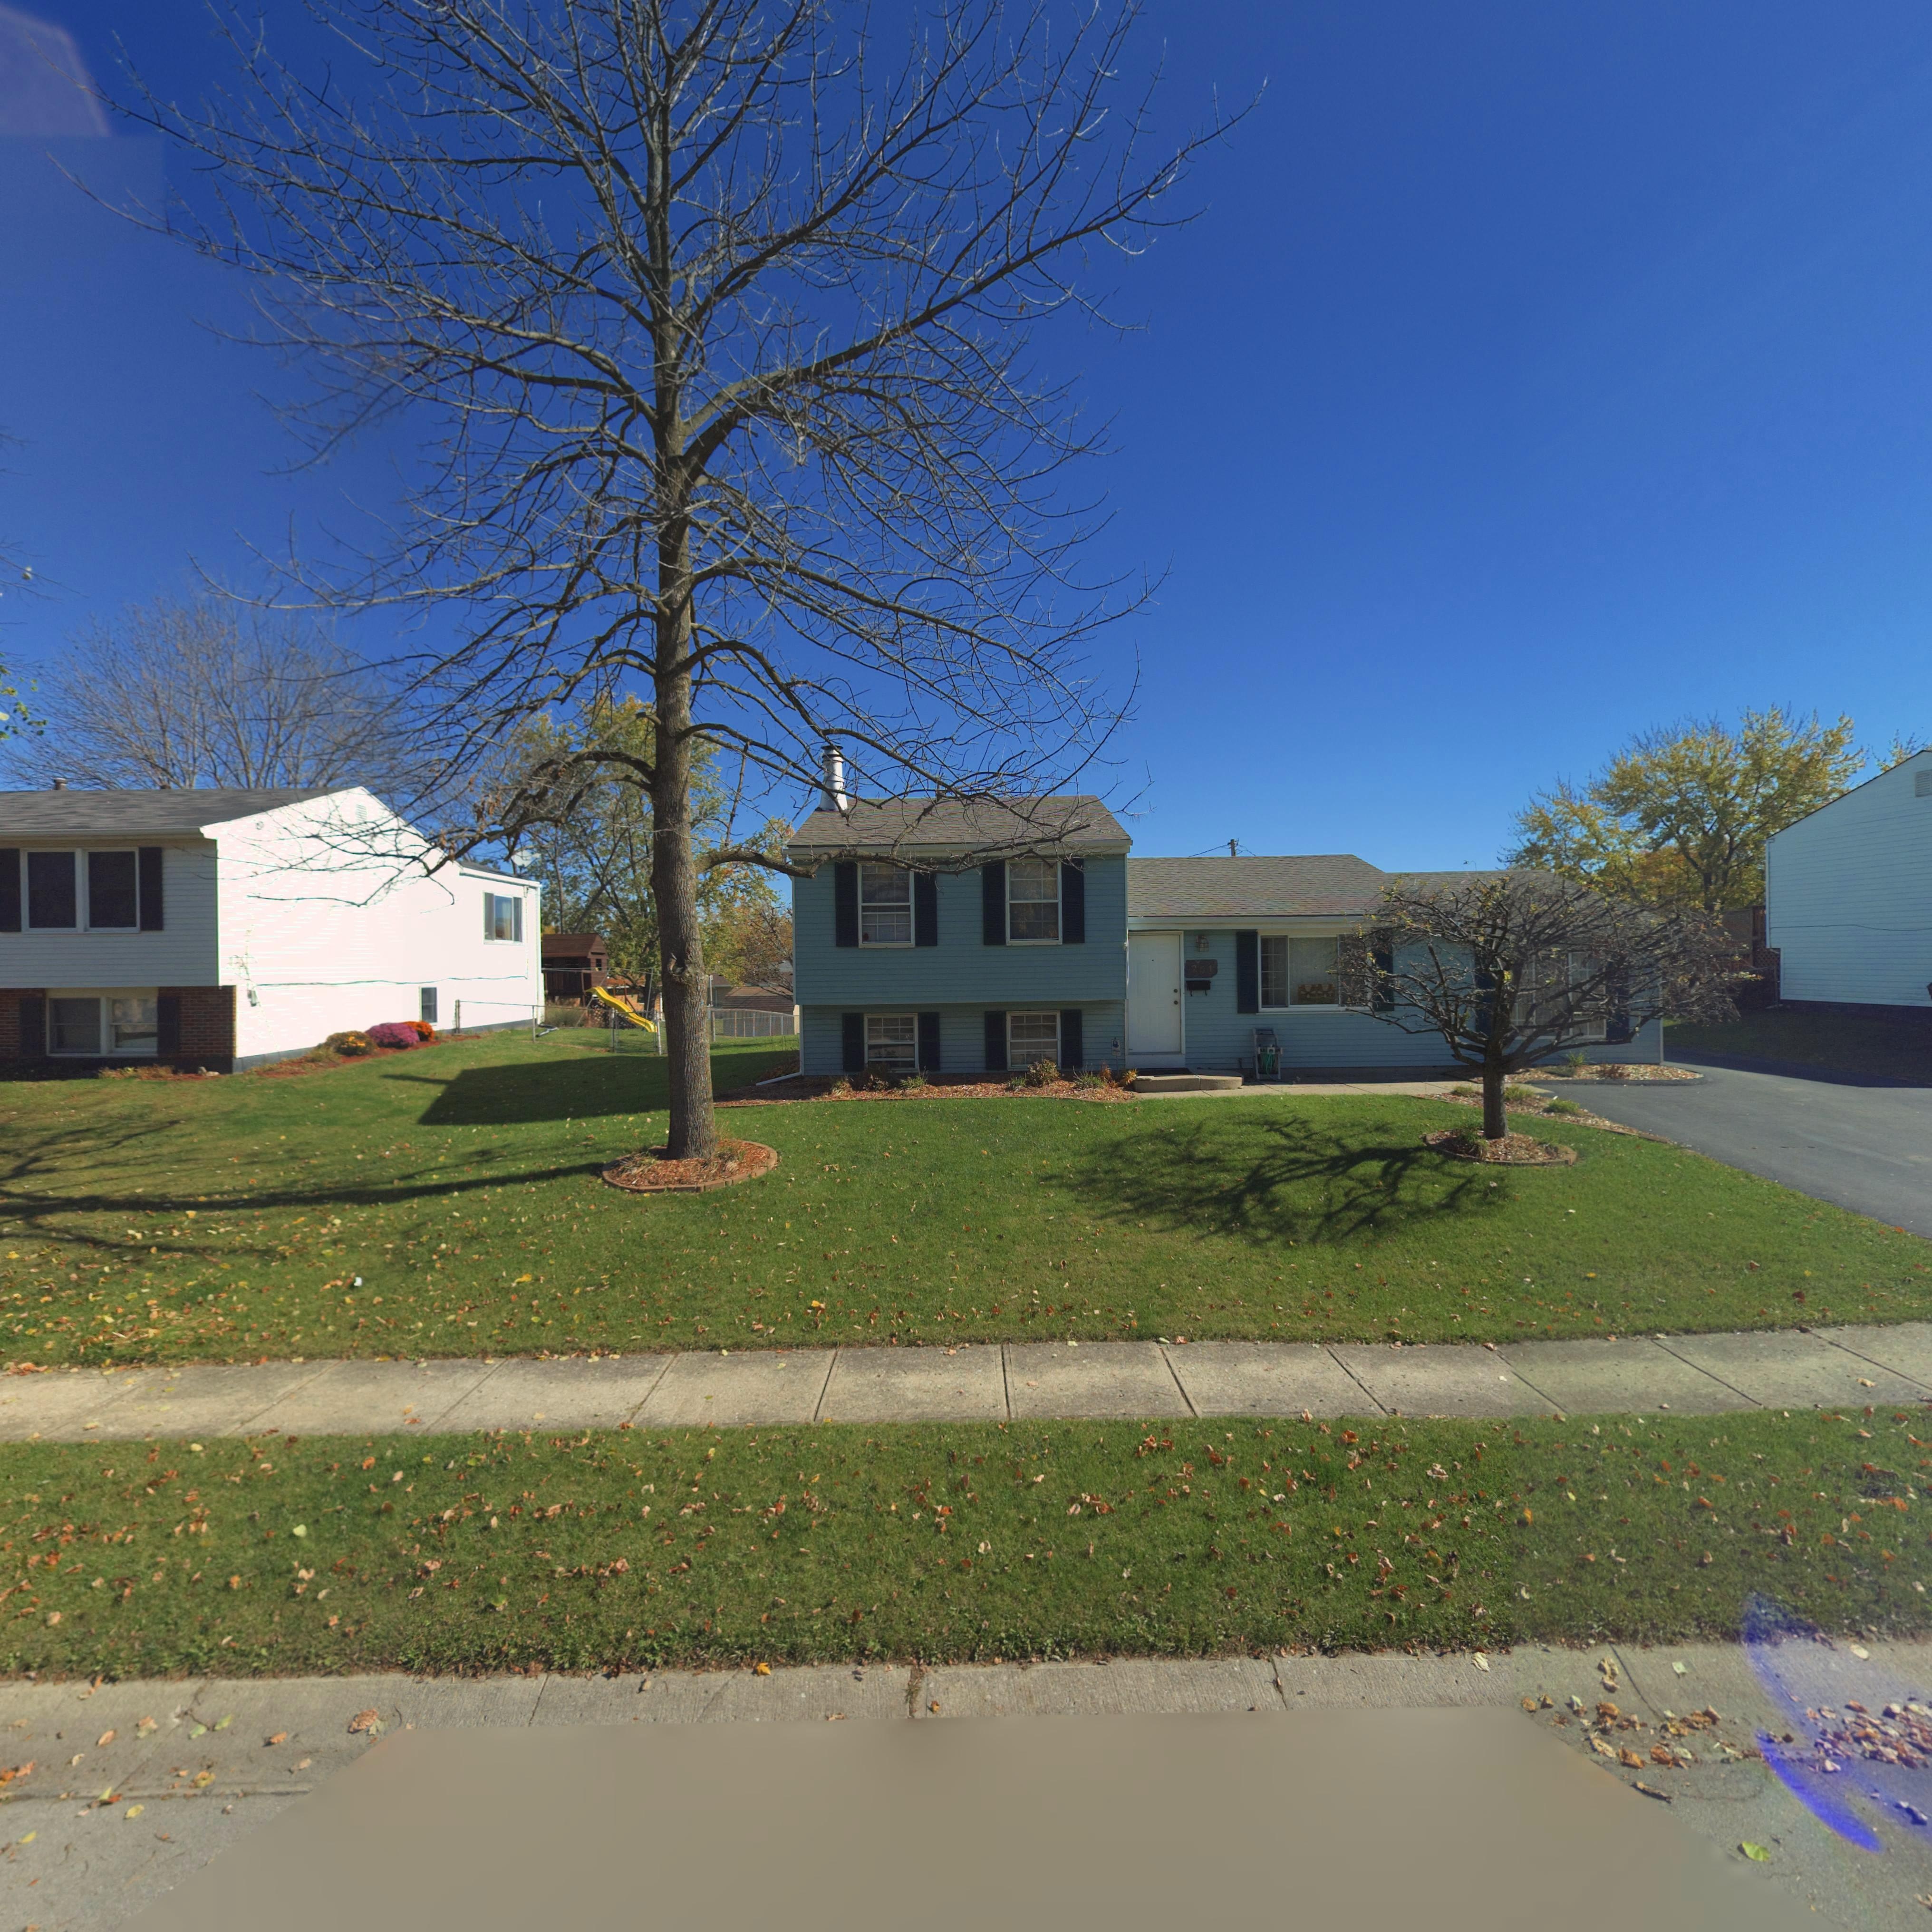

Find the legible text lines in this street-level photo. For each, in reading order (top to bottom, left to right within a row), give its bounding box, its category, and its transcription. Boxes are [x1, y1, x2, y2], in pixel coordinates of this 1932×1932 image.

[1190, 964, 1213, 974] StreetNumber: 251